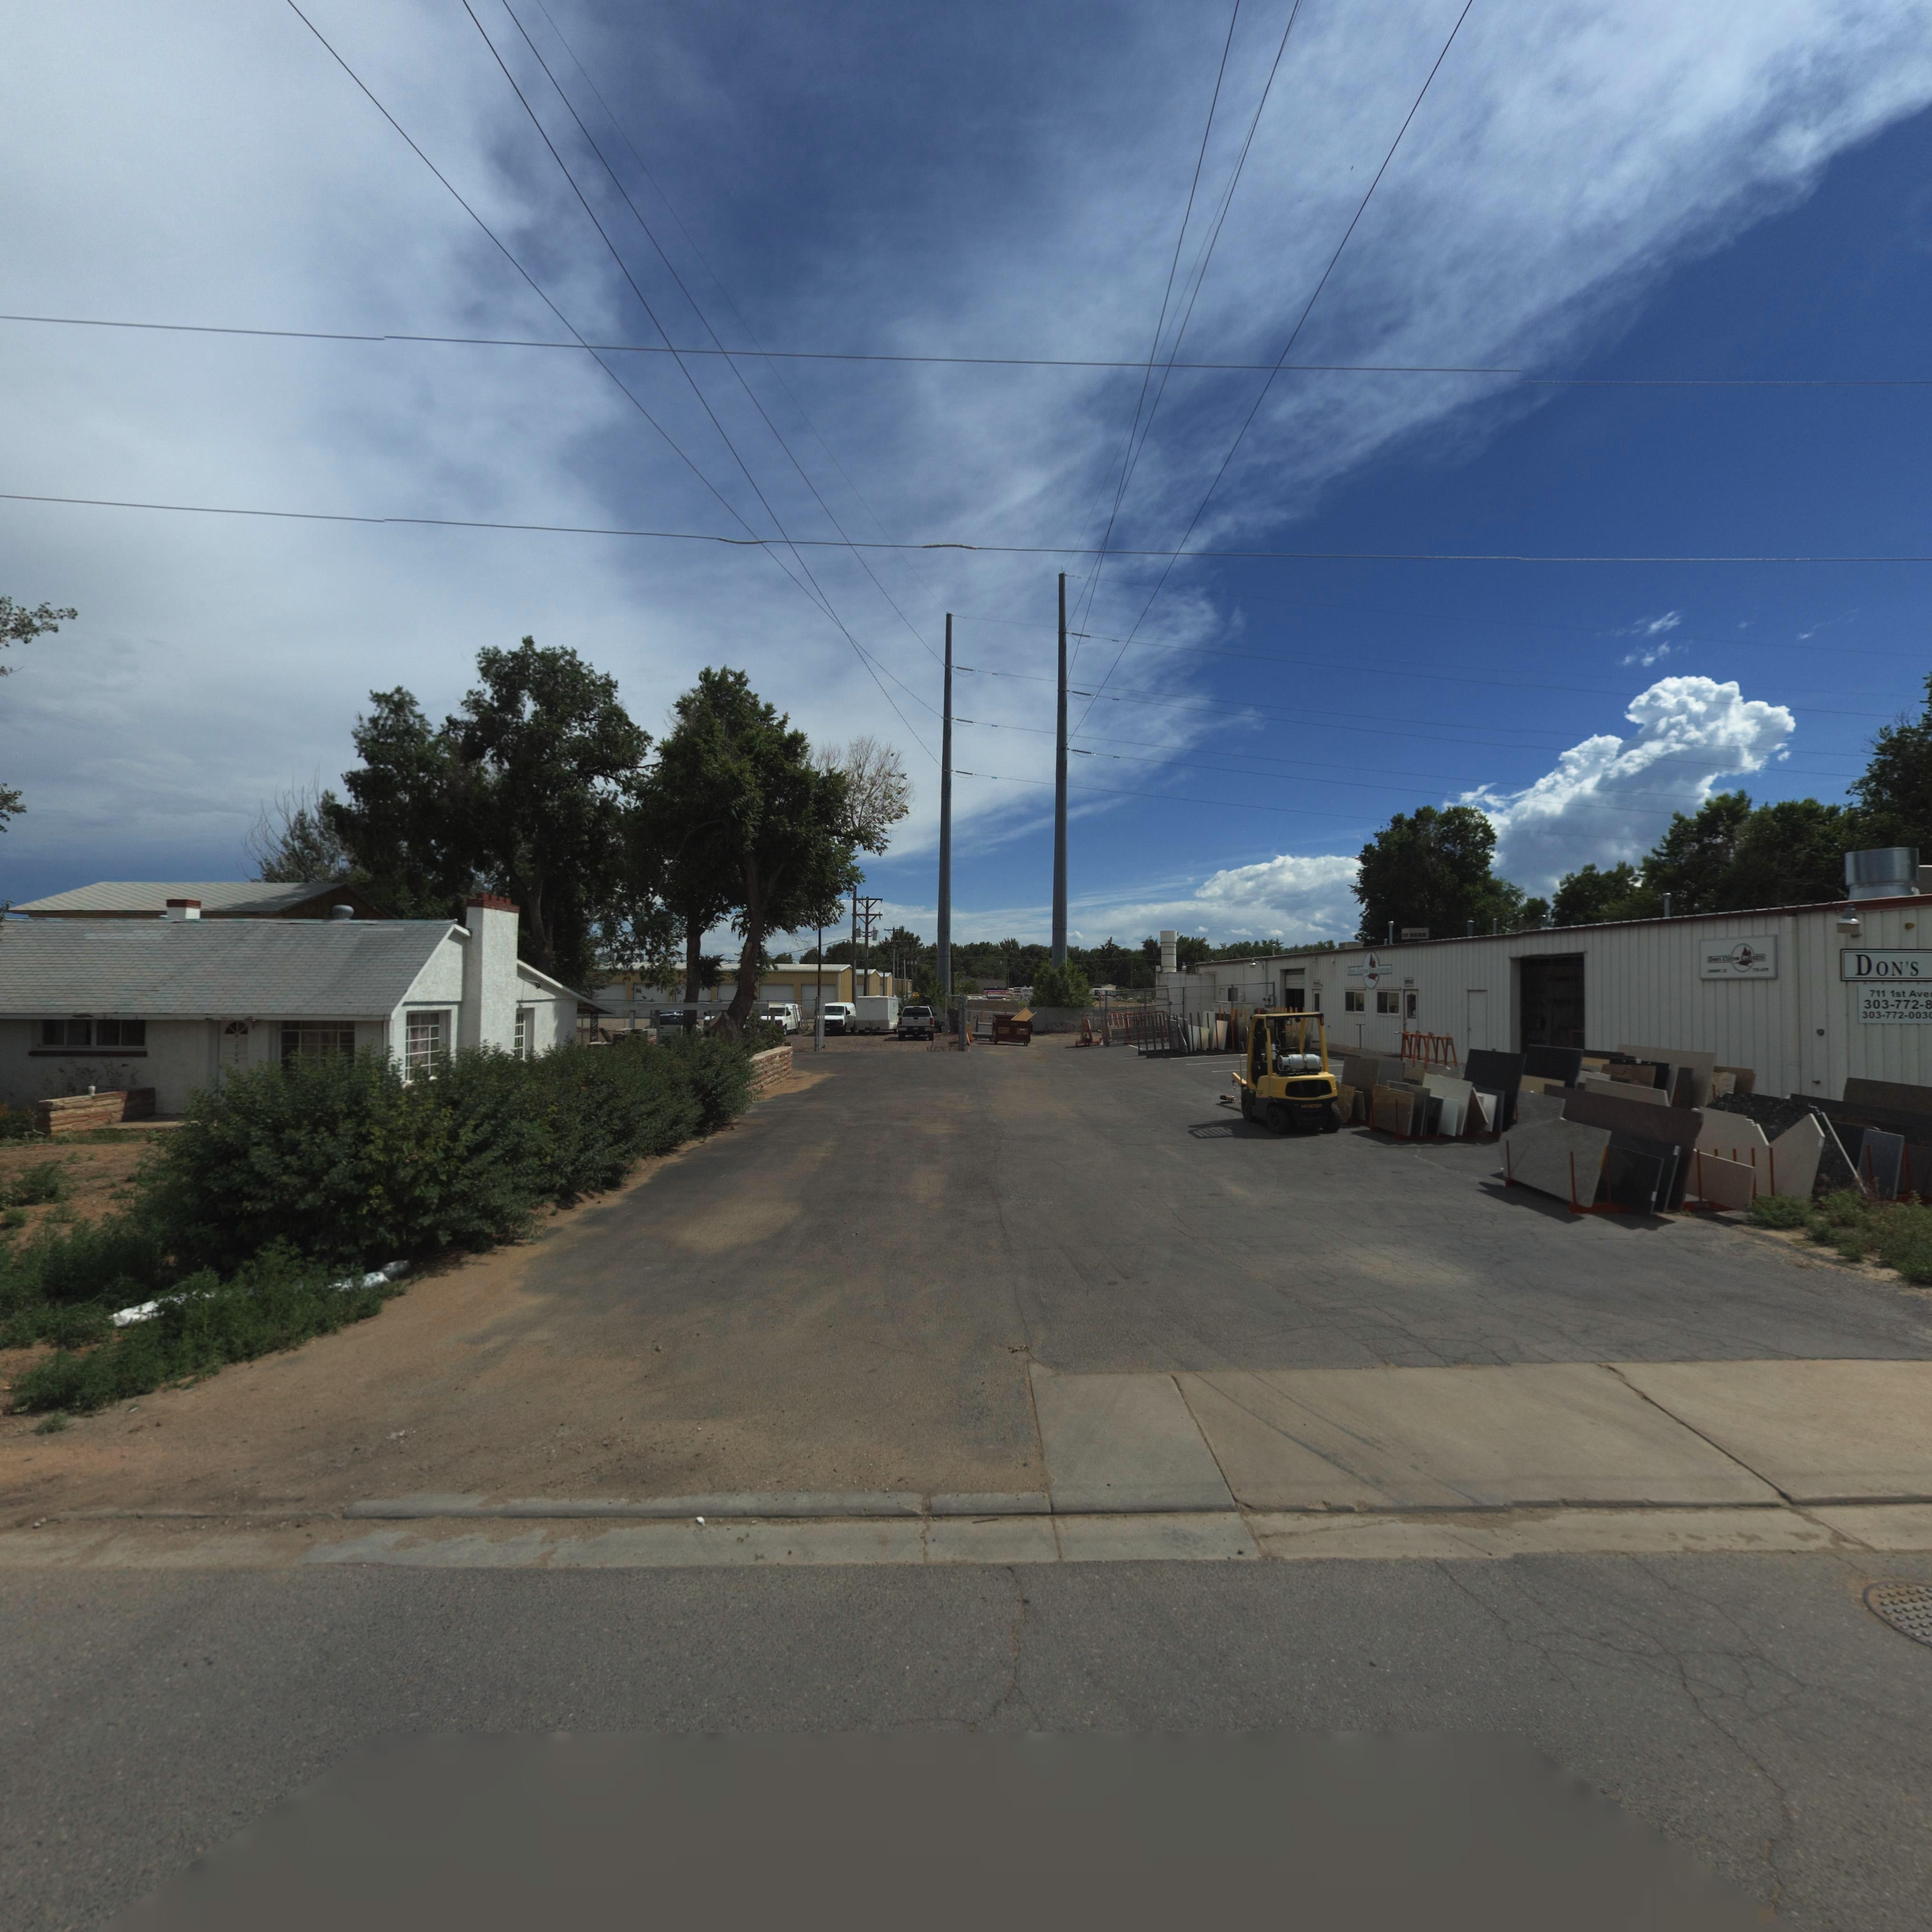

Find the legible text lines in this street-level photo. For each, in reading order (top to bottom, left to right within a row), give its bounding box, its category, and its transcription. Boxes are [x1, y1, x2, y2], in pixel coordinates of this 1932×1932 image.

[1854, 954, 1920, 977] BusinessName: DON'S
[1348, 966, 1391, 974] BusinessName: D**** C***** C***********
[1869, 989, 1885, 997] StreetNumber: 711
[1890, 989, 1930, 998] StreetName: 1st Ave
[233, 1044, 239, 1065] StreetNumber: 105